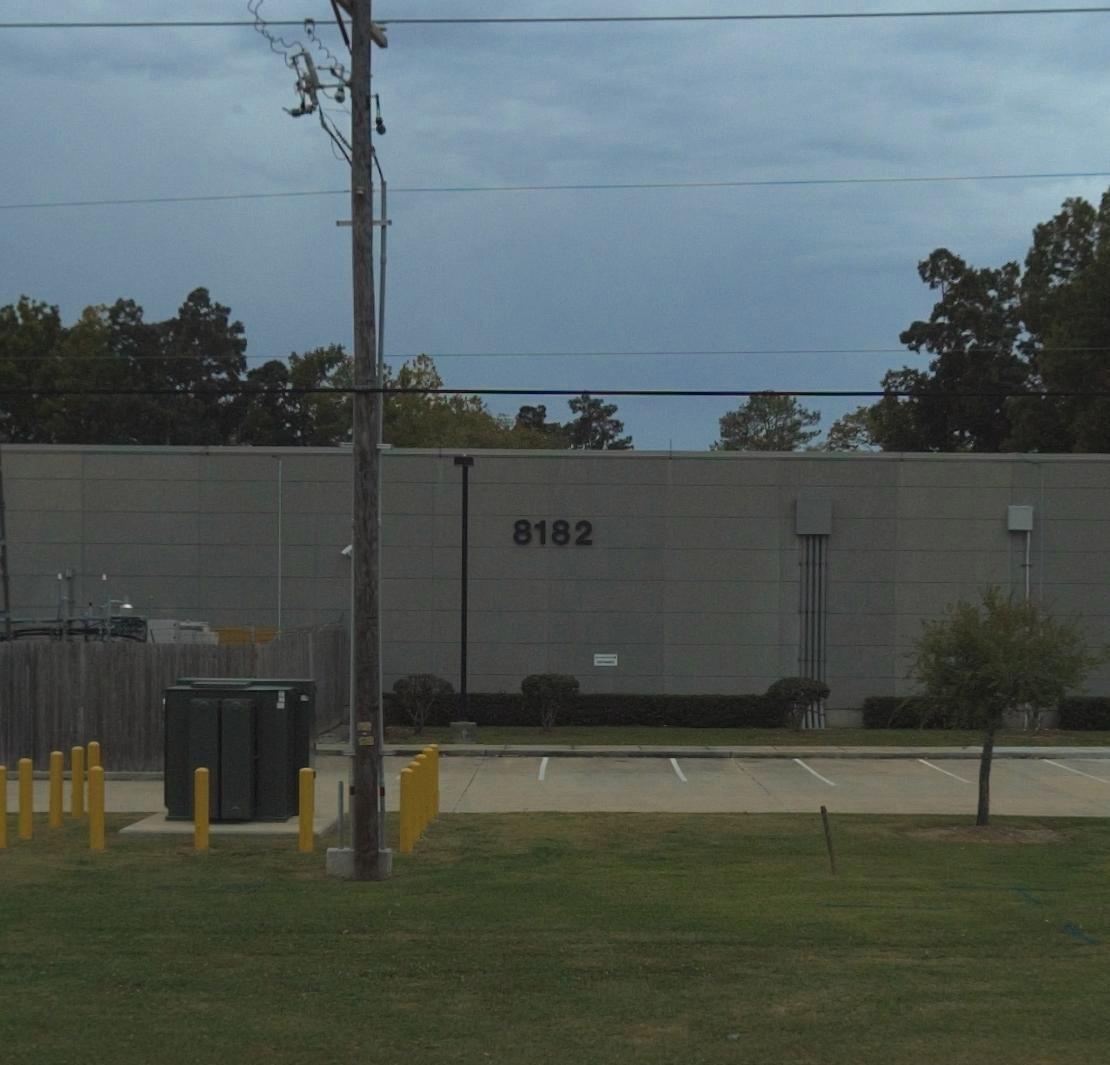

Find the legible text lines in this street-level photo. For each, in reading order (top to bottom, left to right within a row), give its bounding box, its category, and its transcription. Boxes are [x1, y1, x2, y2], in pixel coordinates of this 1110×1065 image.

[513, 518, 594, 546] StreetNumber: 8182